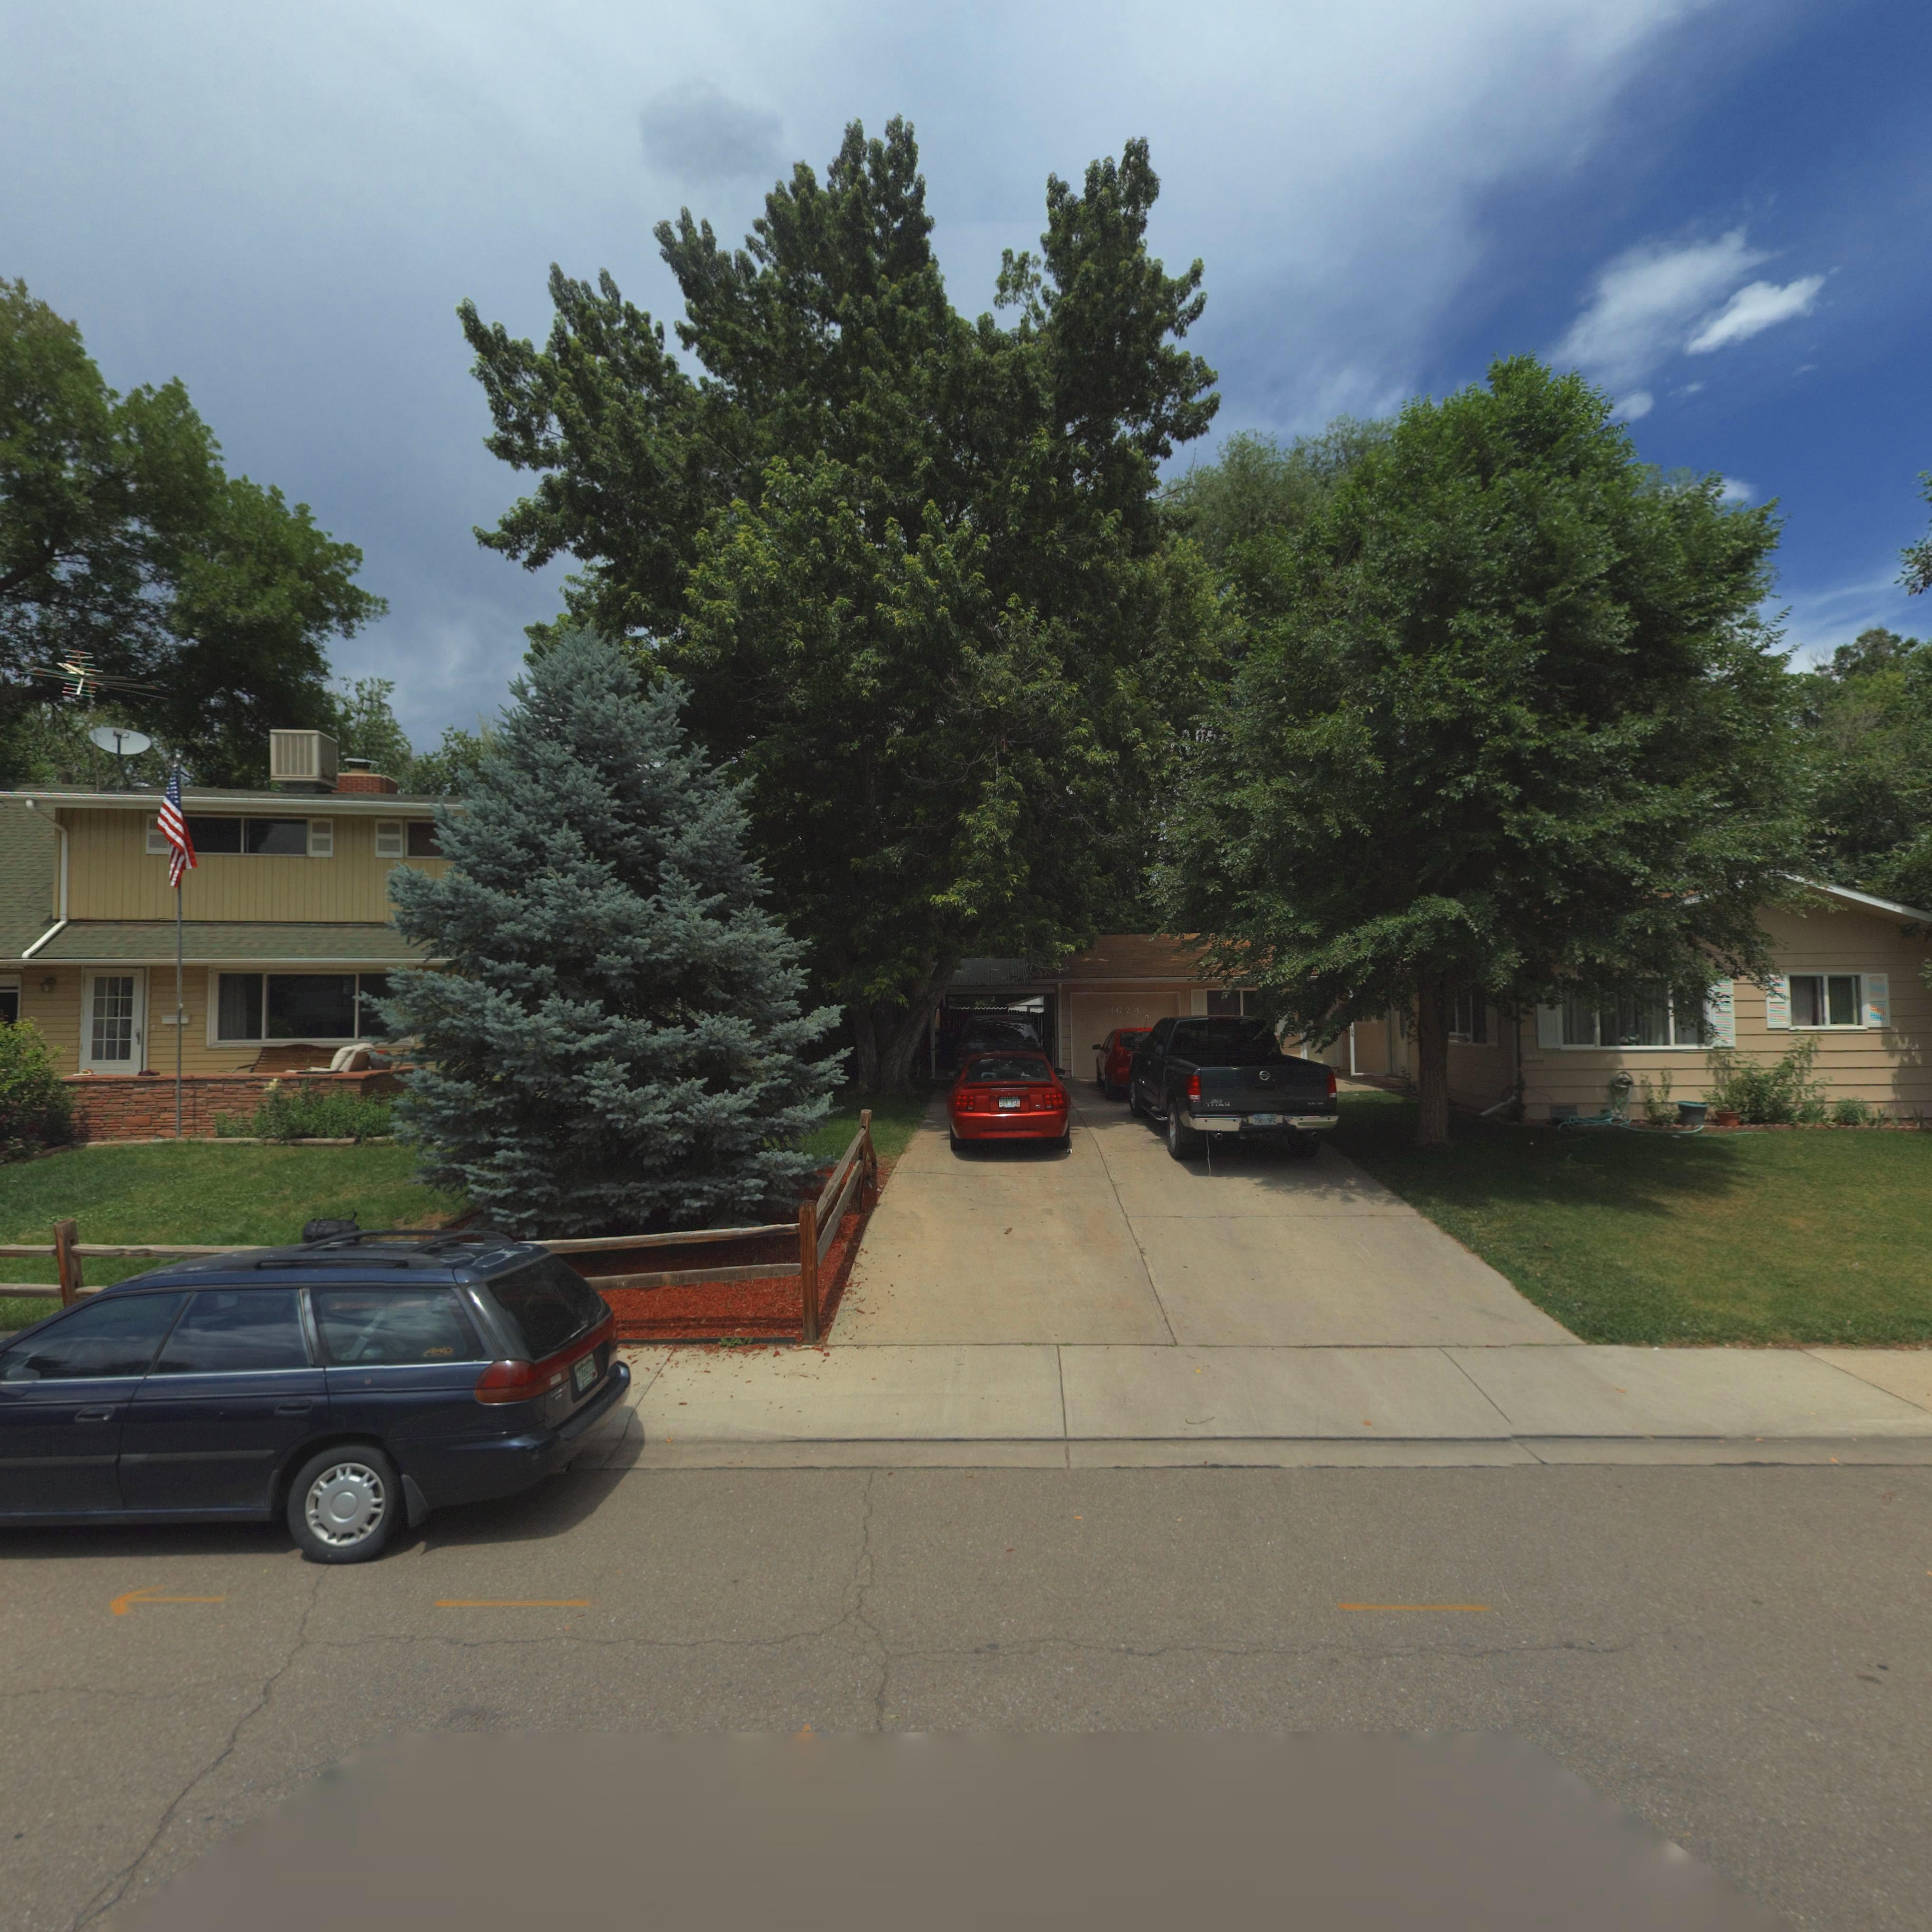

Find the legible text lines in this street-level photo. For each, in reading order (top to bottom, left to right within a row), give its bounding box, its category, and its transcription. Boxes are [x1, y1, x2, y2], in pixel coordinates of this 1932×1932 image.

[1110, 1006, 1140, 1014] StreetNumber: 1624